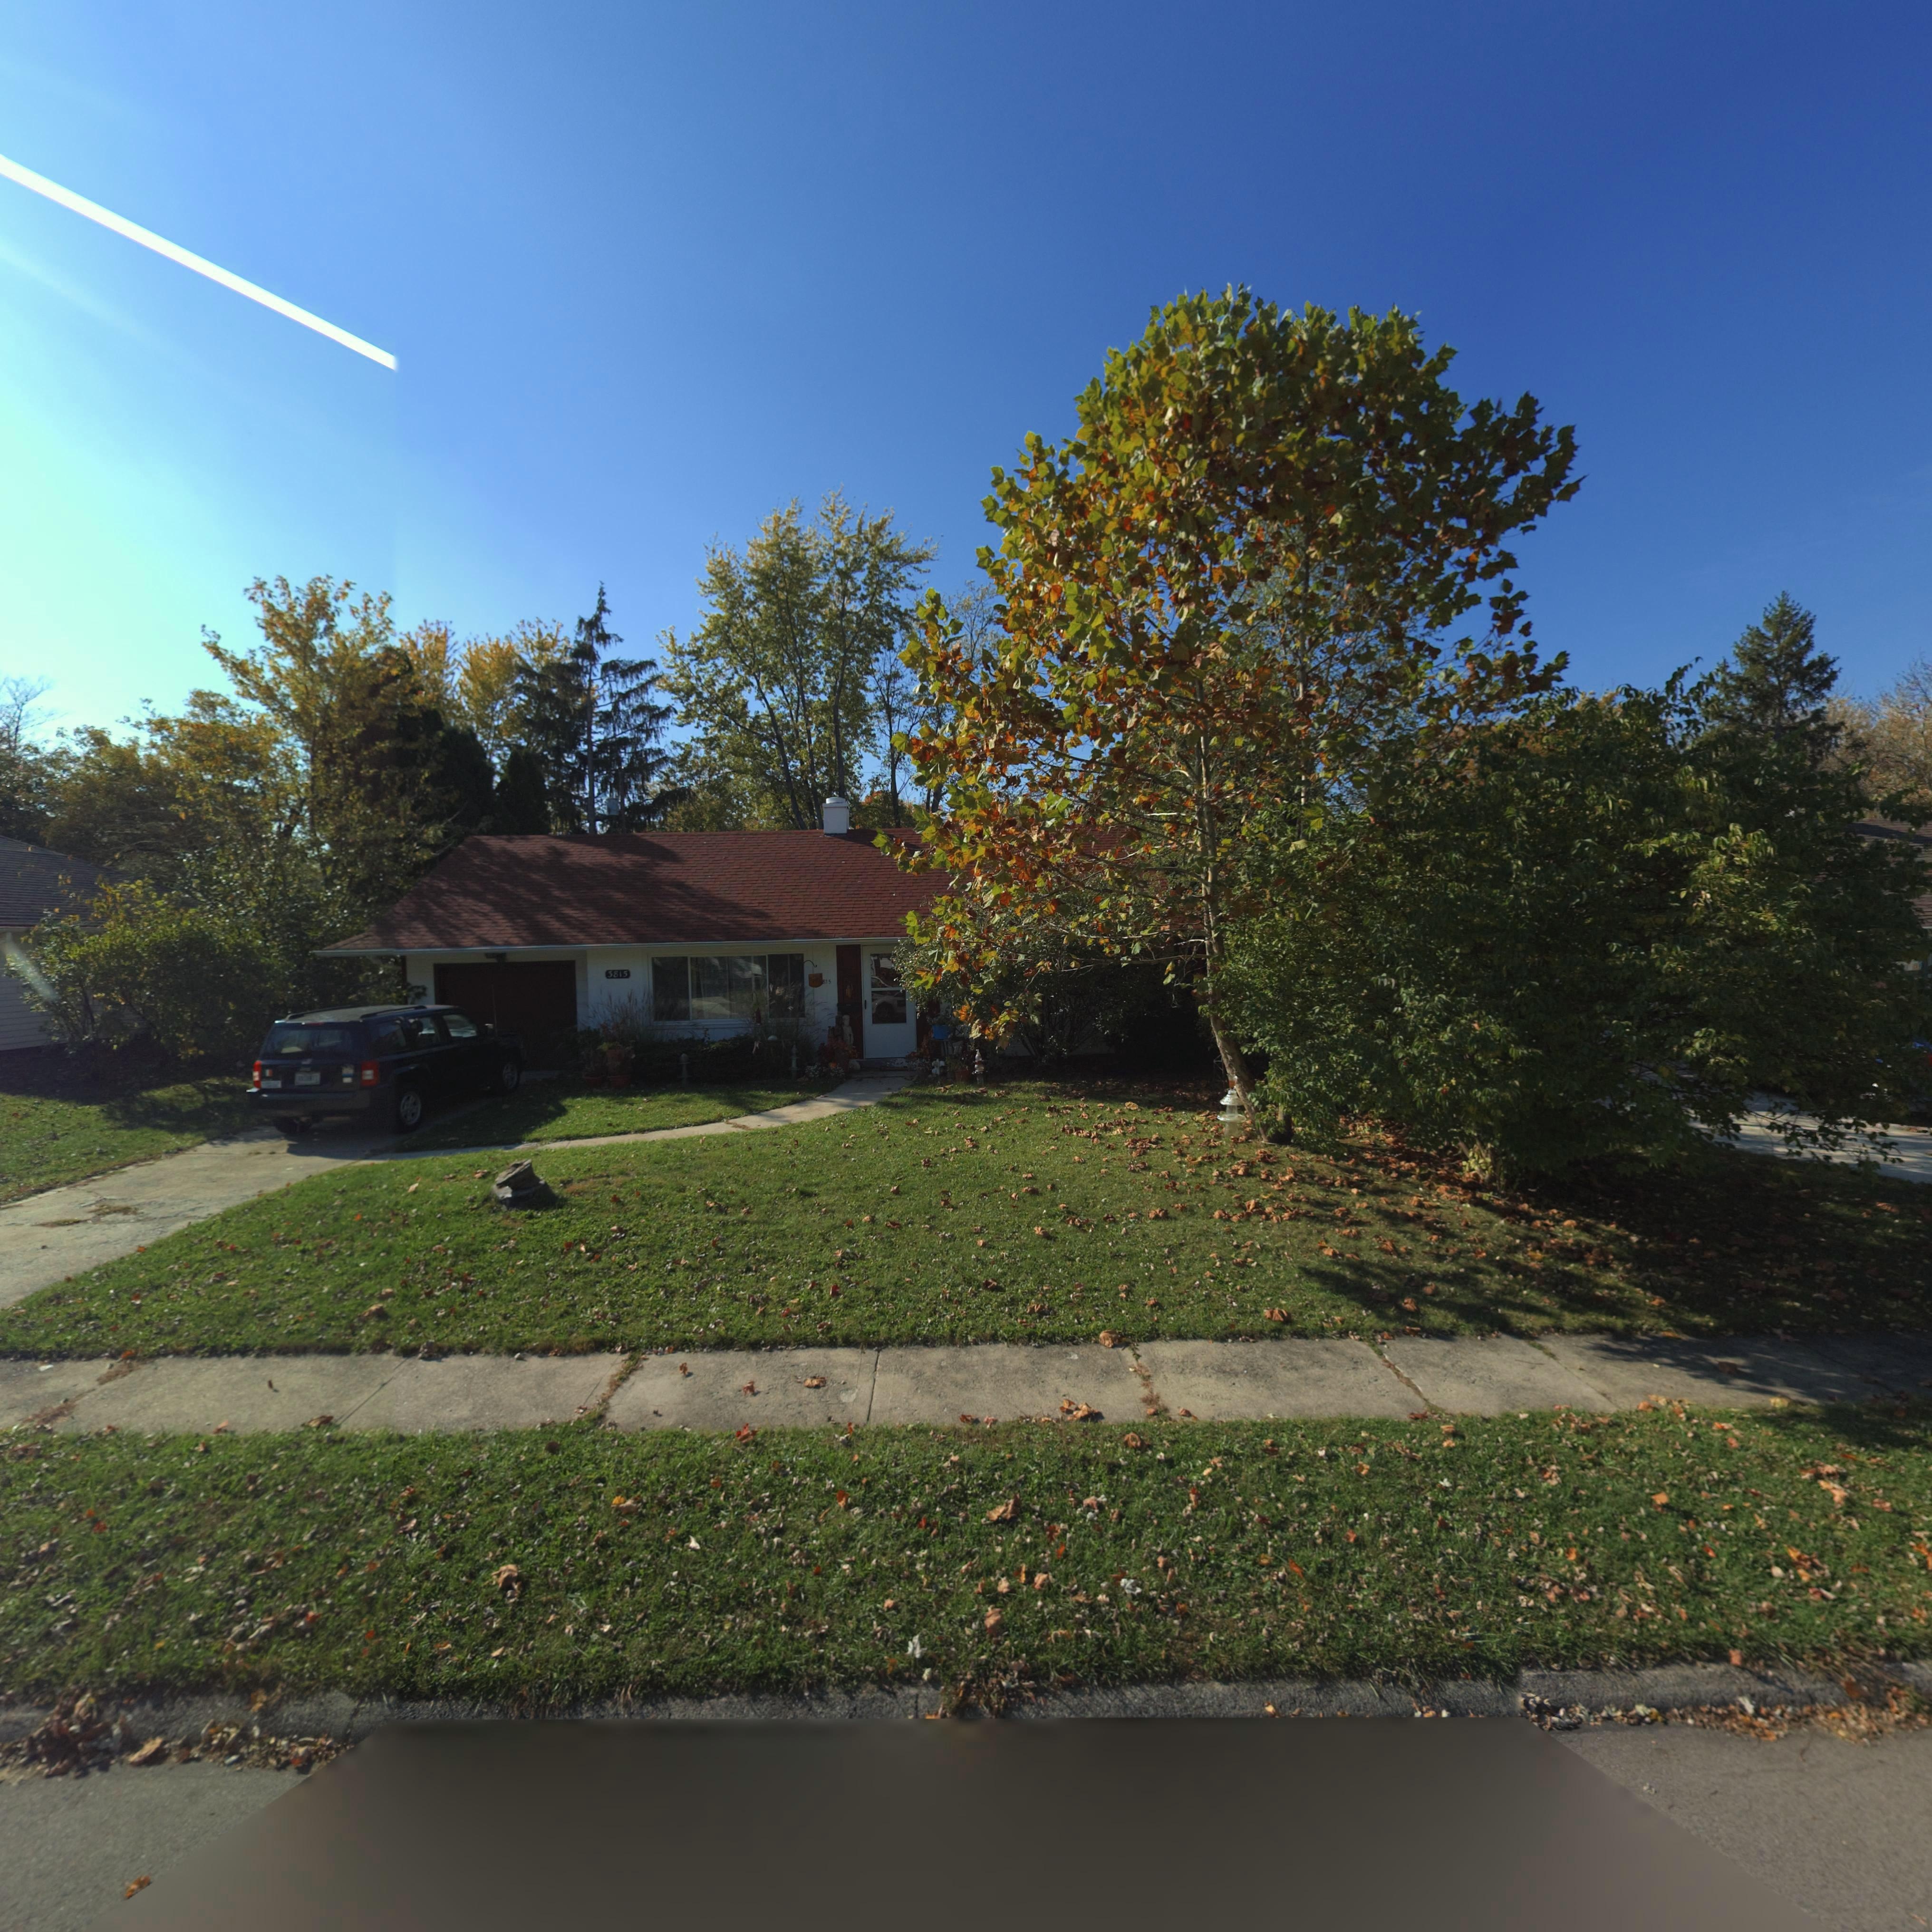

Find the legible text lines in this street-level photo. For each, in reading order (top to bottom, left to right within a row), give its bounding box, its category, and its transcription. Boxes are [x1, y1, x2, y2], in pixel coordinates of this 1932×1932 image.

[607, 969, 629, 979] StreetNumber: 3815
[821, 978, 832, 985] StreetNumber: 815